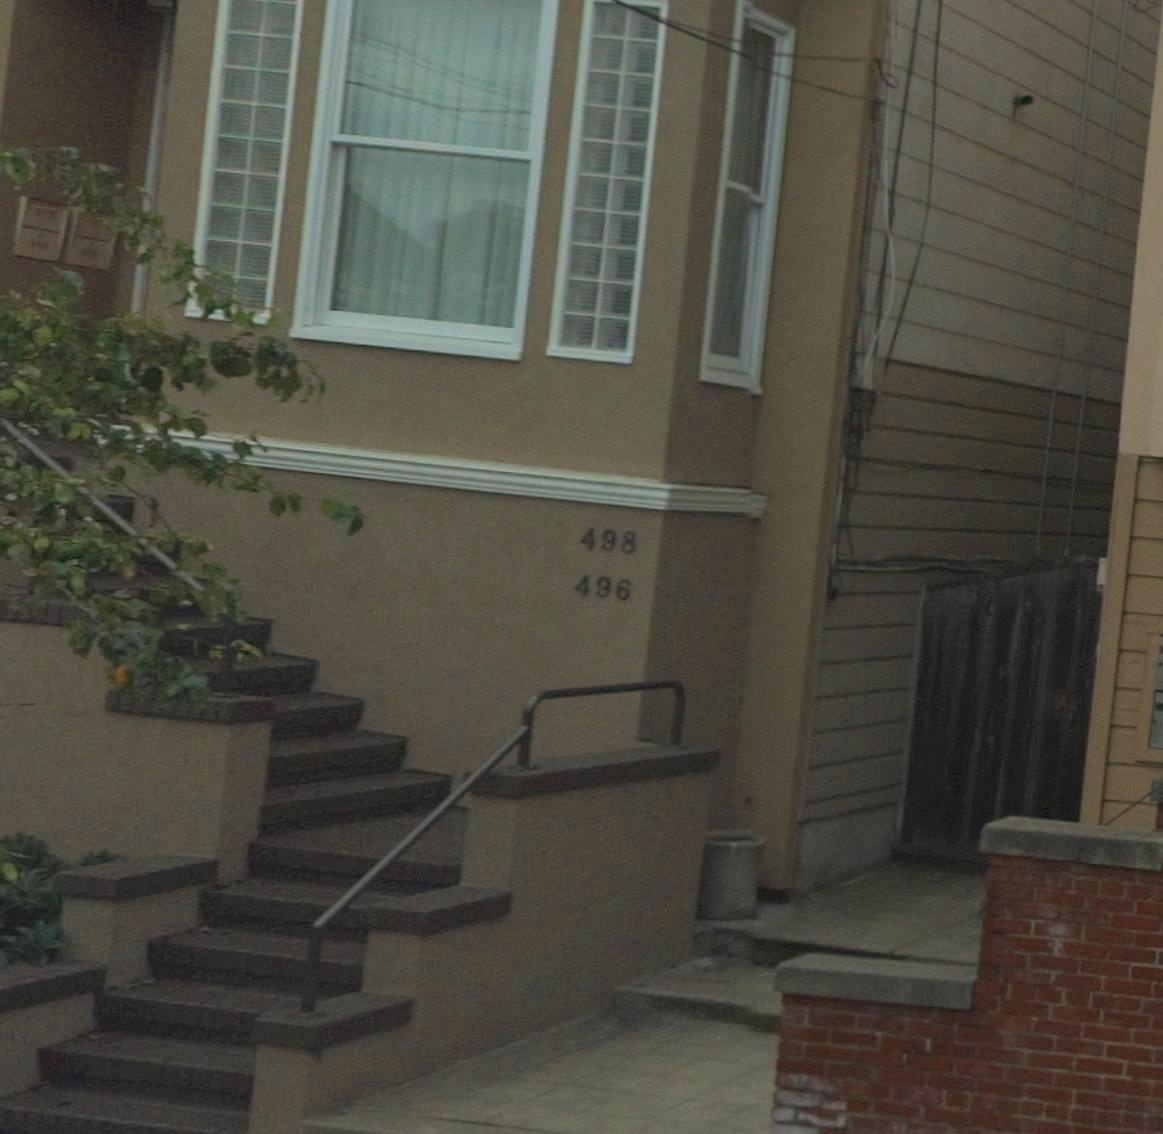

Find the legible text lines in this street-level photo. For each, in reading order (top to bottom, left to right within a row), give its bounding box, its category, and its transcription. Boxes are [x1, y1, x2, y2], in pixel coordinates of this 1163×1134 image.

[577, 526, 639, 556] StreetNumber: 498
[570, 571, 634, 603] StreetNumber: 496